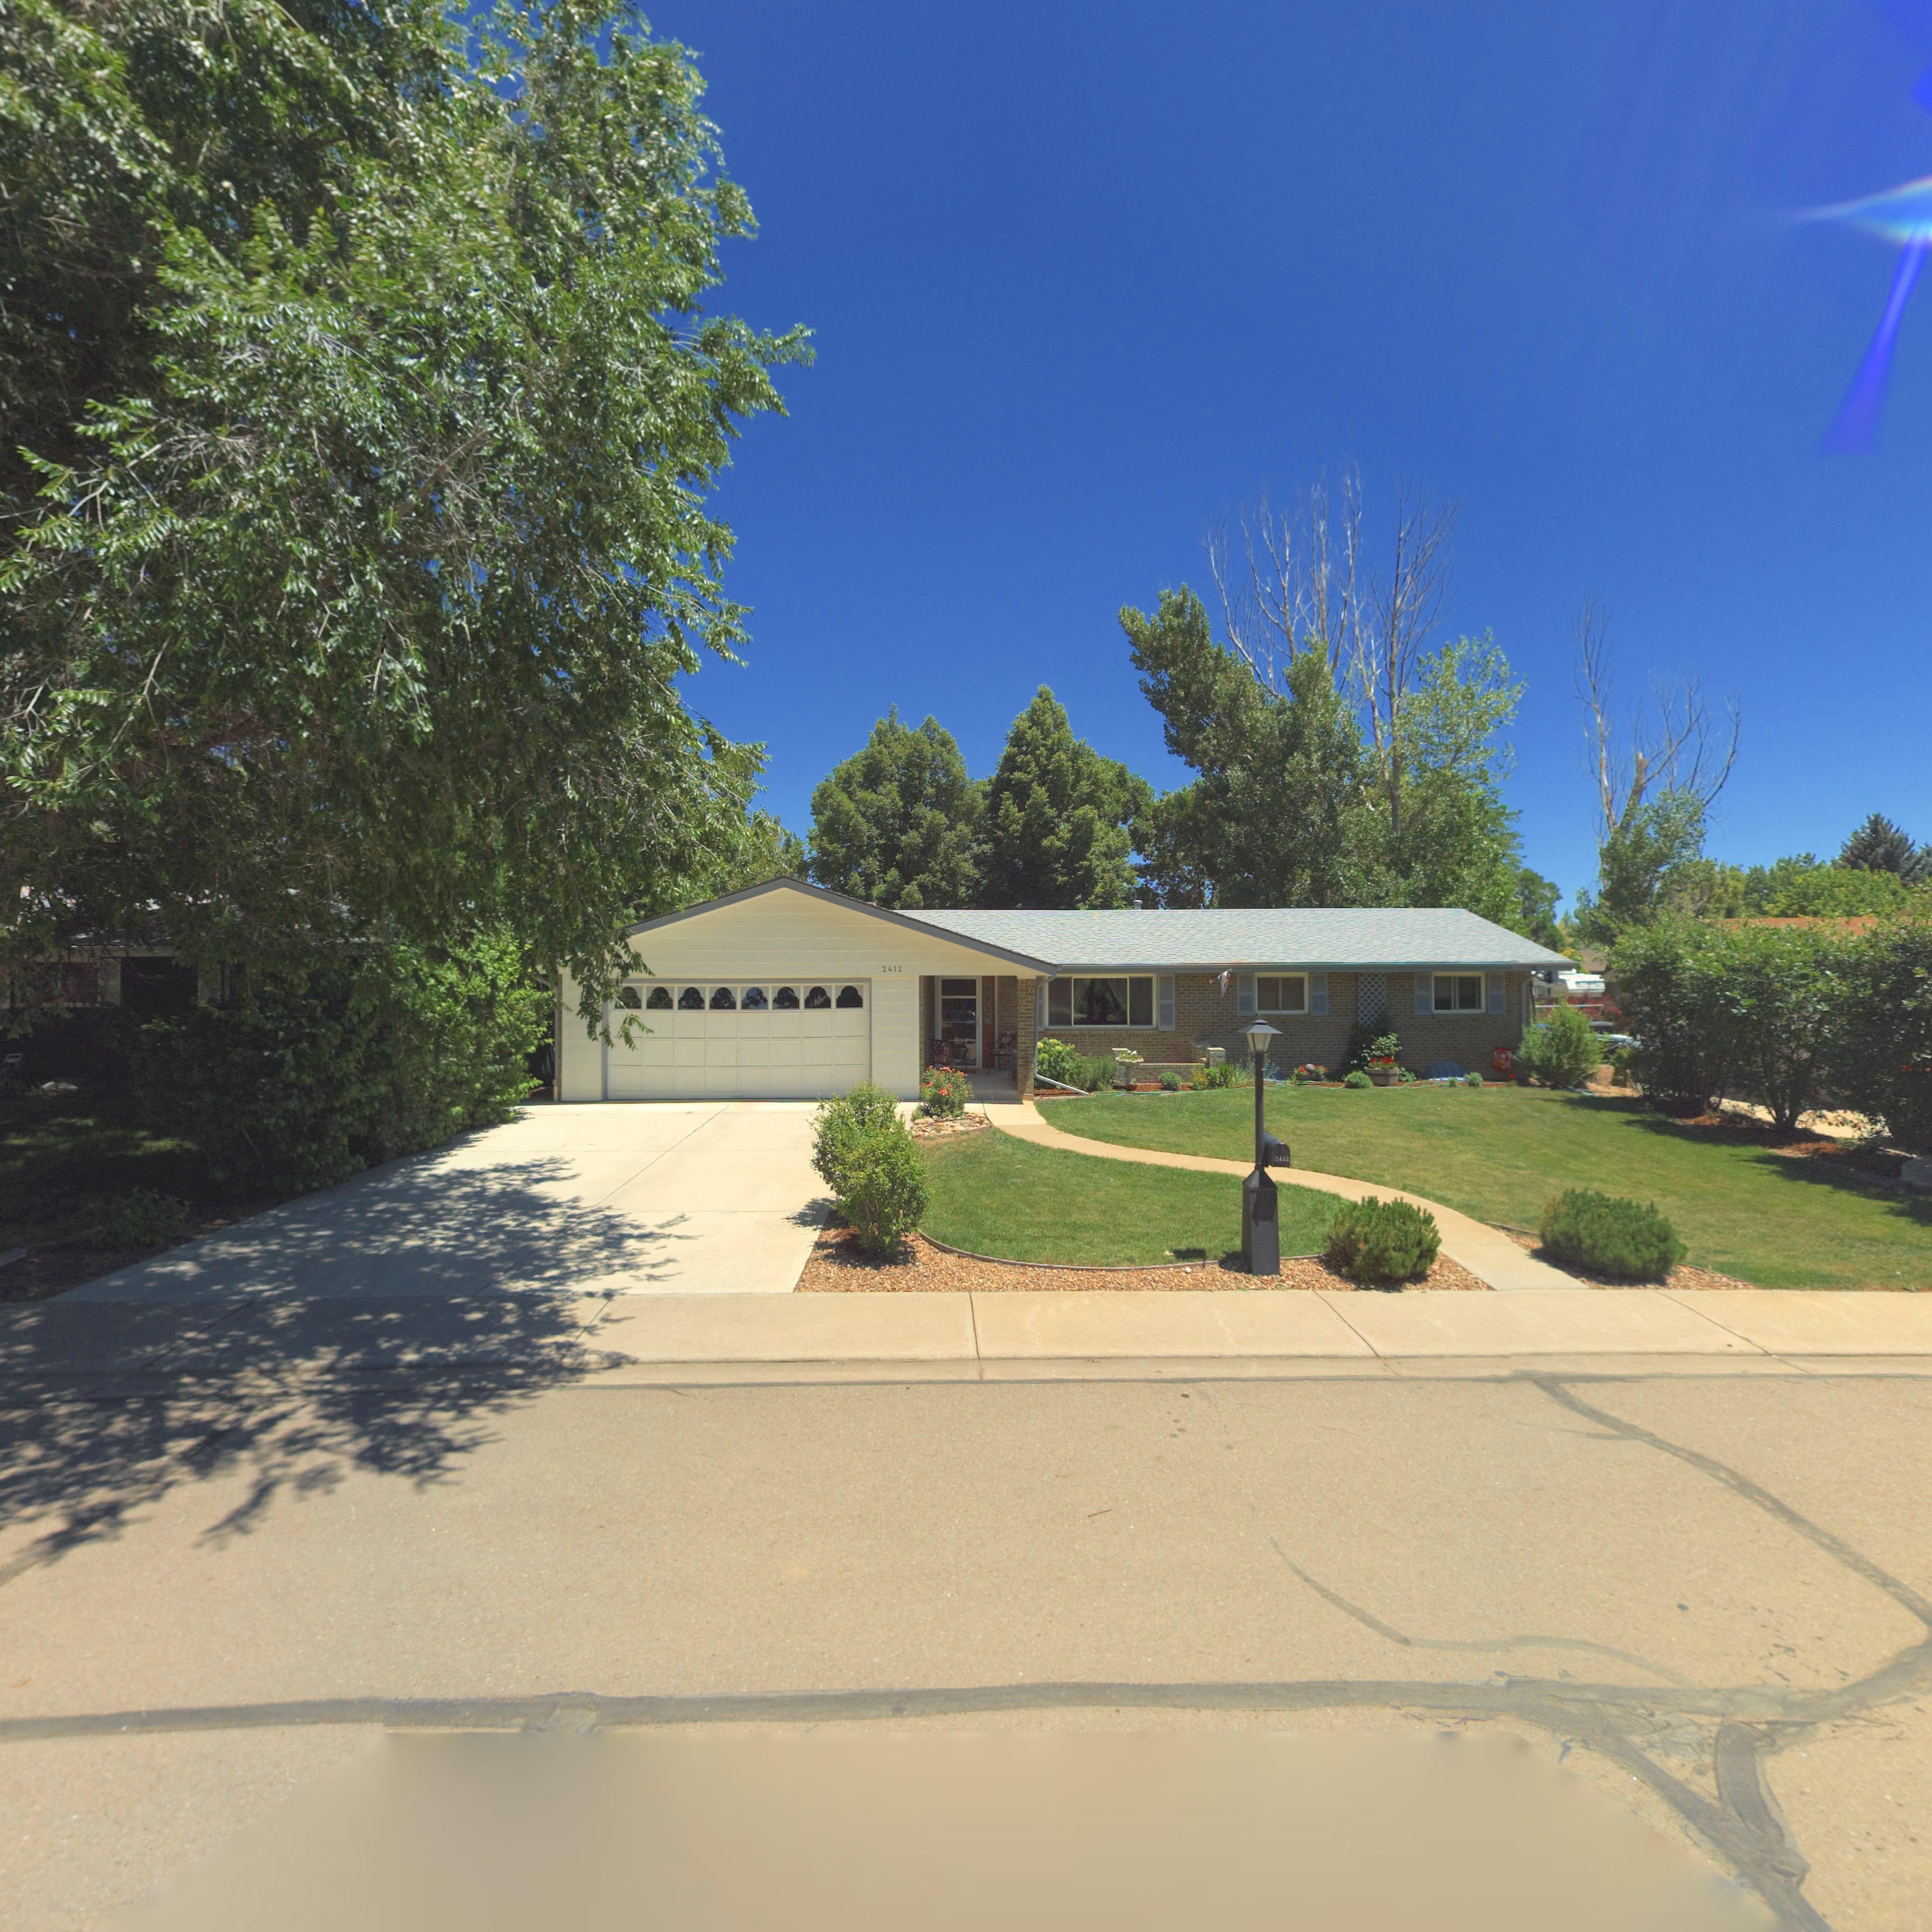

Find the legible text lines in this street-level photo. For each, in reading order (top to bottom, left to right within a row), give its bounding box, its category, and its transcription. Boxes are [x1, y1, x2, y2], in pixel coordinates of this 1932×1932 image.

[882, 965, 902, 972] StreetNumber: 2412
[1274, 1155, 1289, 1162] StreetNumber: 2412